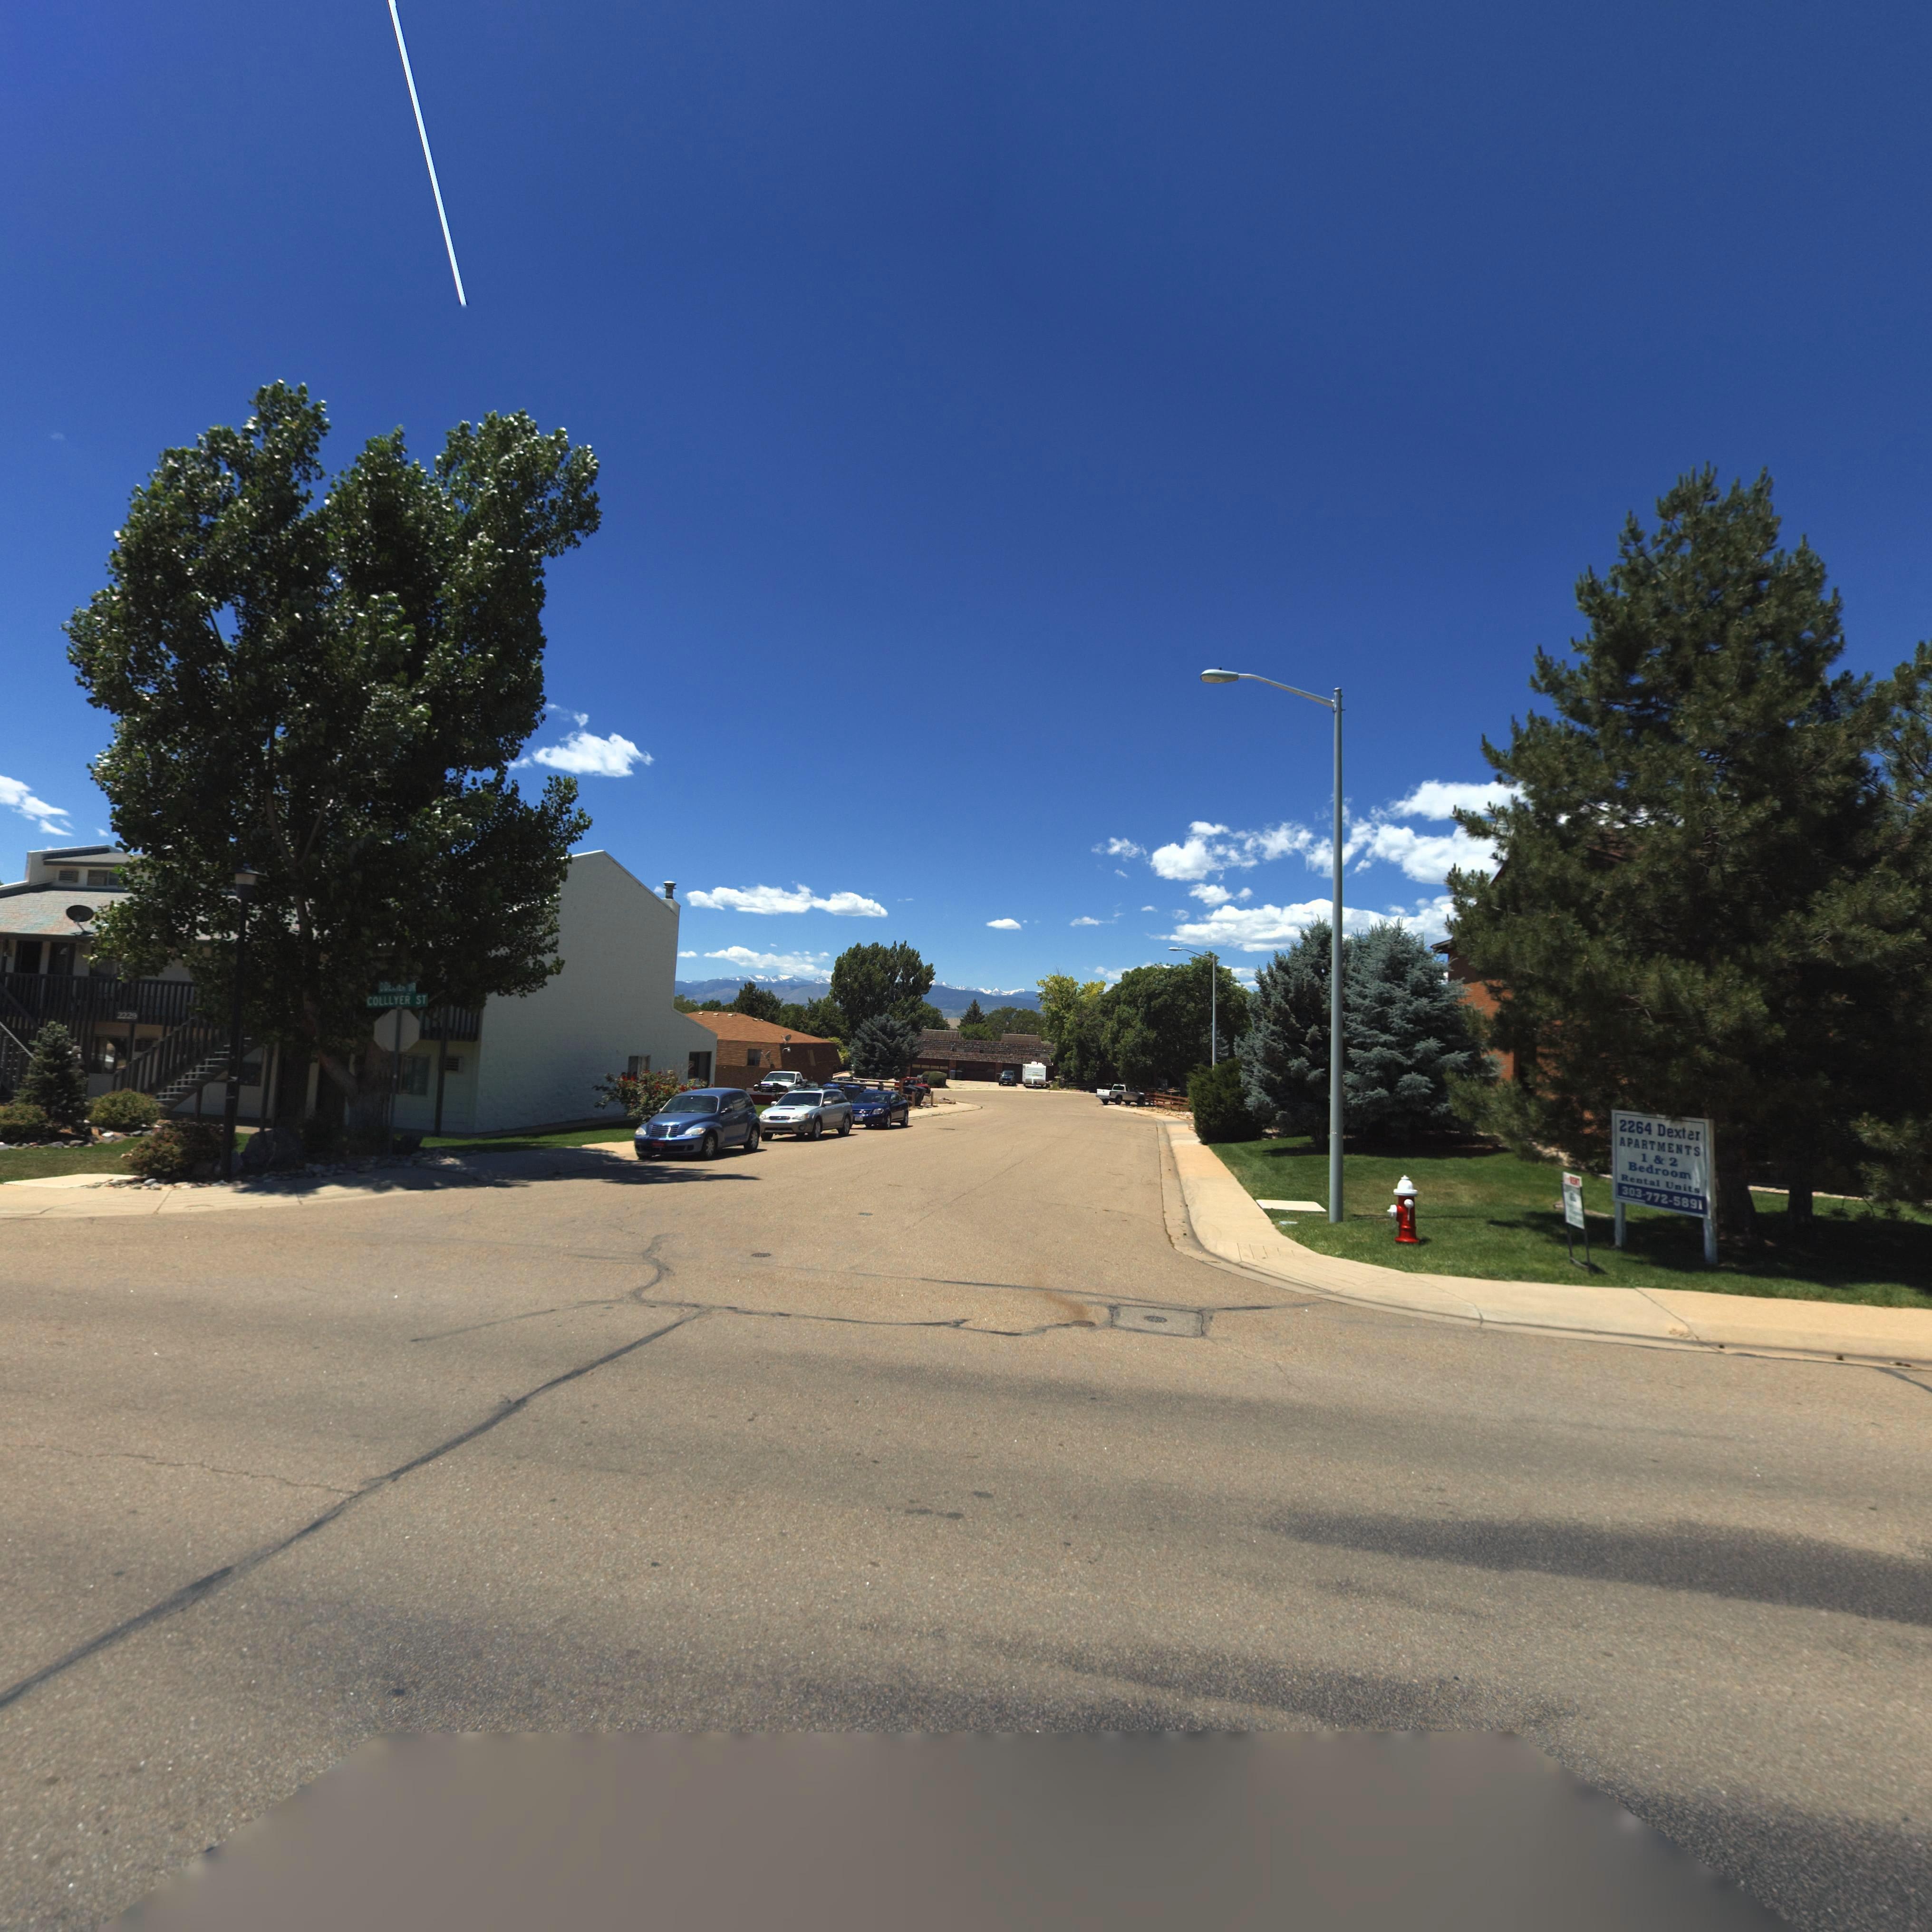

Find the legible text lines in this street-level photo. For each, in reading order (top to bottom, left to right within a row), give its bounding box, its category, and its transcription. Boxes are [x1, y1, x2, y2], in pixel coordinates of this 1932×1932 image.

[379, 981, 416, 993] StreetName: DE**** DR
[366, 995, 427, 1006] StreetName: COLLLYER ST
[1619, 1119, 1652, 1135] StreetNumber: 2264
[1657, 1122, 1702, 1142] StreetName: DEXTER